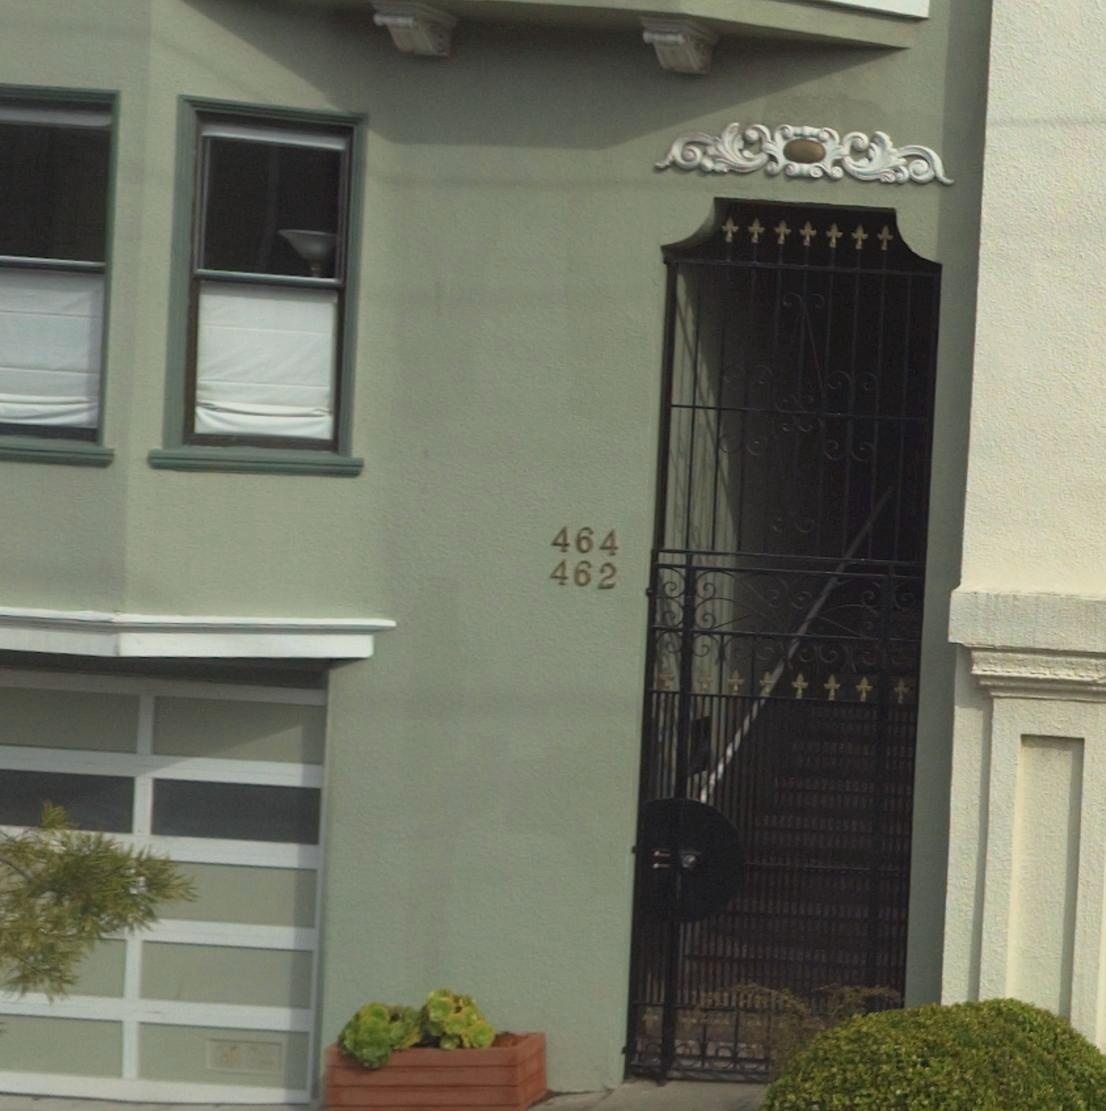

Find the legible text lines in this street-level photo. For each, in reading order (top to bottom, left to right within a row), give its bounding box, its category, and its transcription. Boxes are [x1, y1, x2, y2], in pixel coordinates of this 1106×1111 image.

[548, 523, 621, 557] StreetNumber: 464
[545, 555, 620, 590] StreetNumber: 462